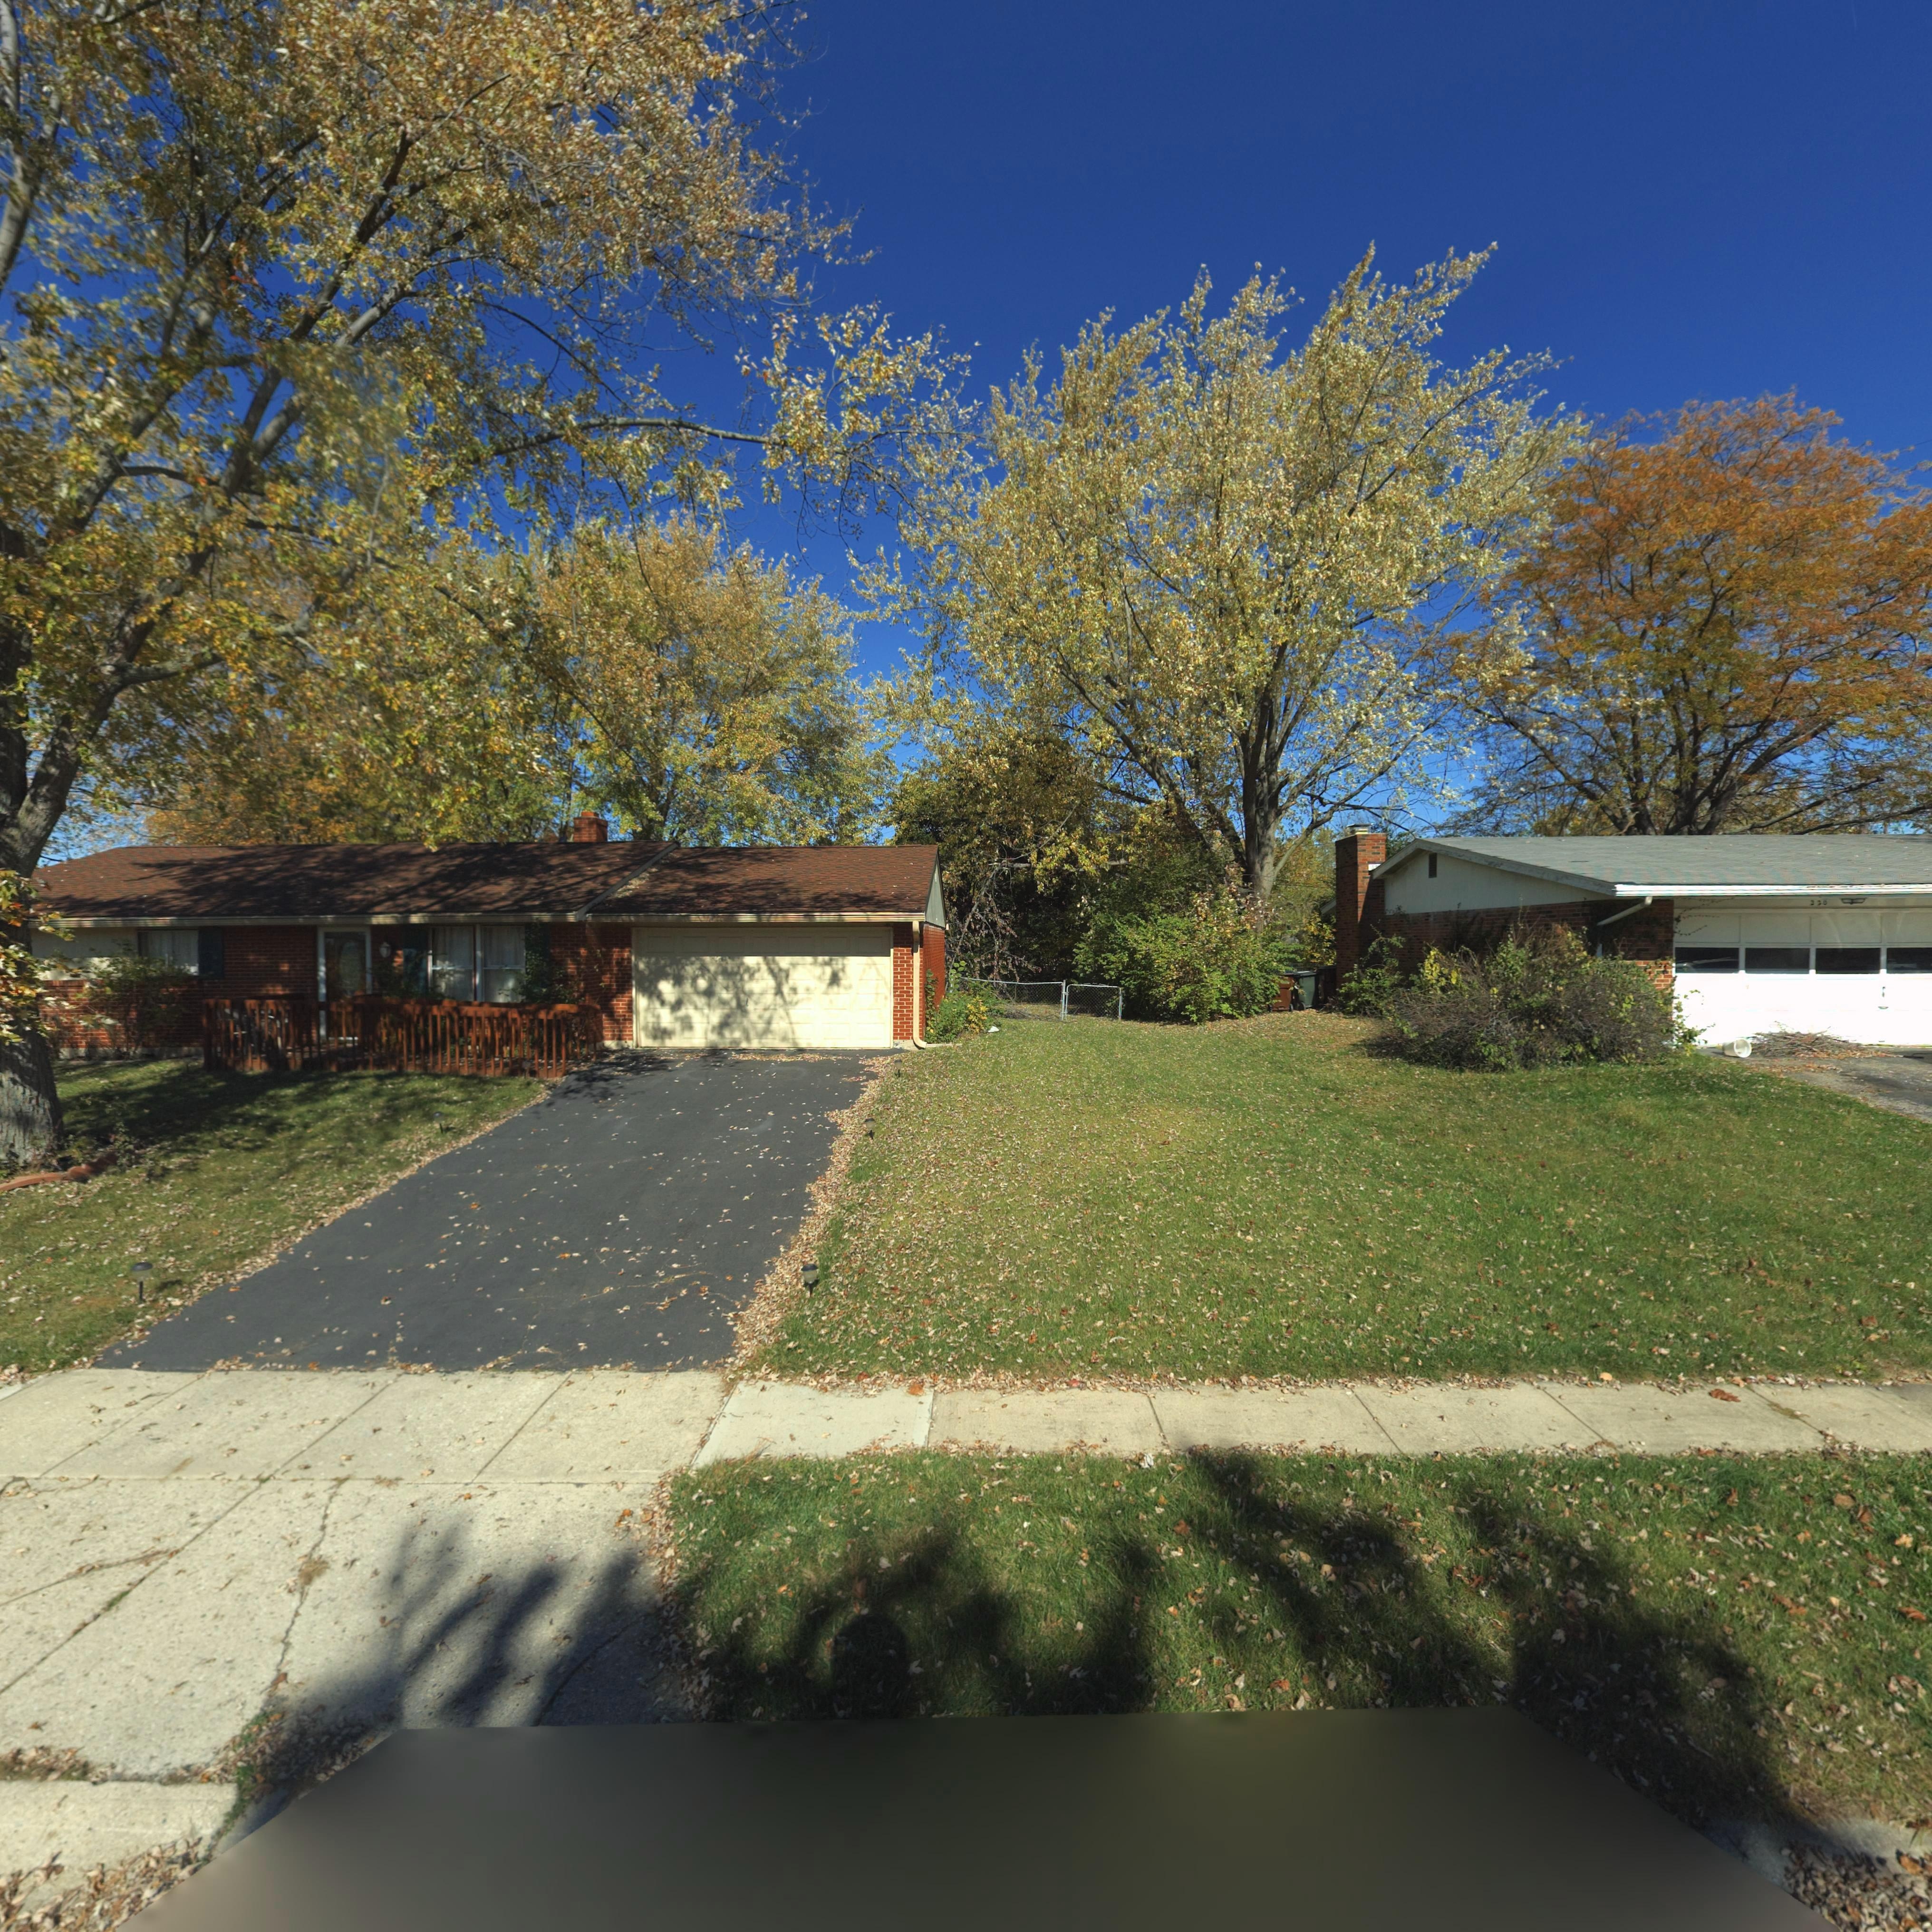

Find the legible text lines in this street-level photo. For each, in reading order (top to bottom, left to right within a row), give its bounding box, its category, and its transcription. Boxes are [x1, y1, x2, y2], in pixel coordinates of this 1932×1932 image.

[1809, 899, 1827, 906] StreetNumber: 220